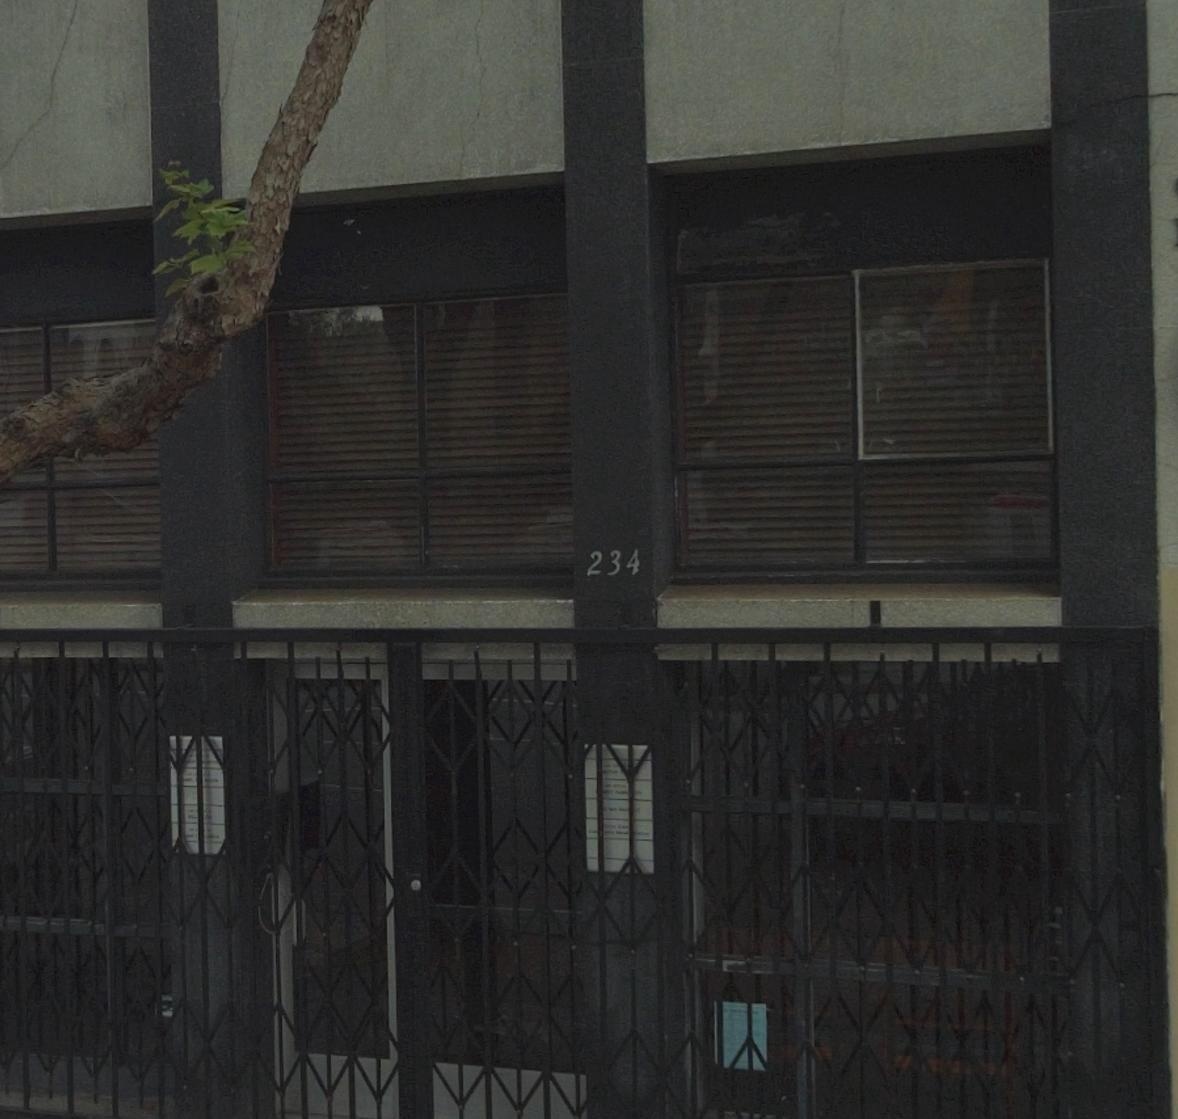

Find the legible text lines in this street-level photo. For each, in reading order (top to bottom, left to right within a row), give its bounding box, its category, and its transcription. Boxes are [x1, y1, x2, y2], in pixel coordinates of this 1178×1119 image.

[586, 548, 641, 577] StreetNumber: 234